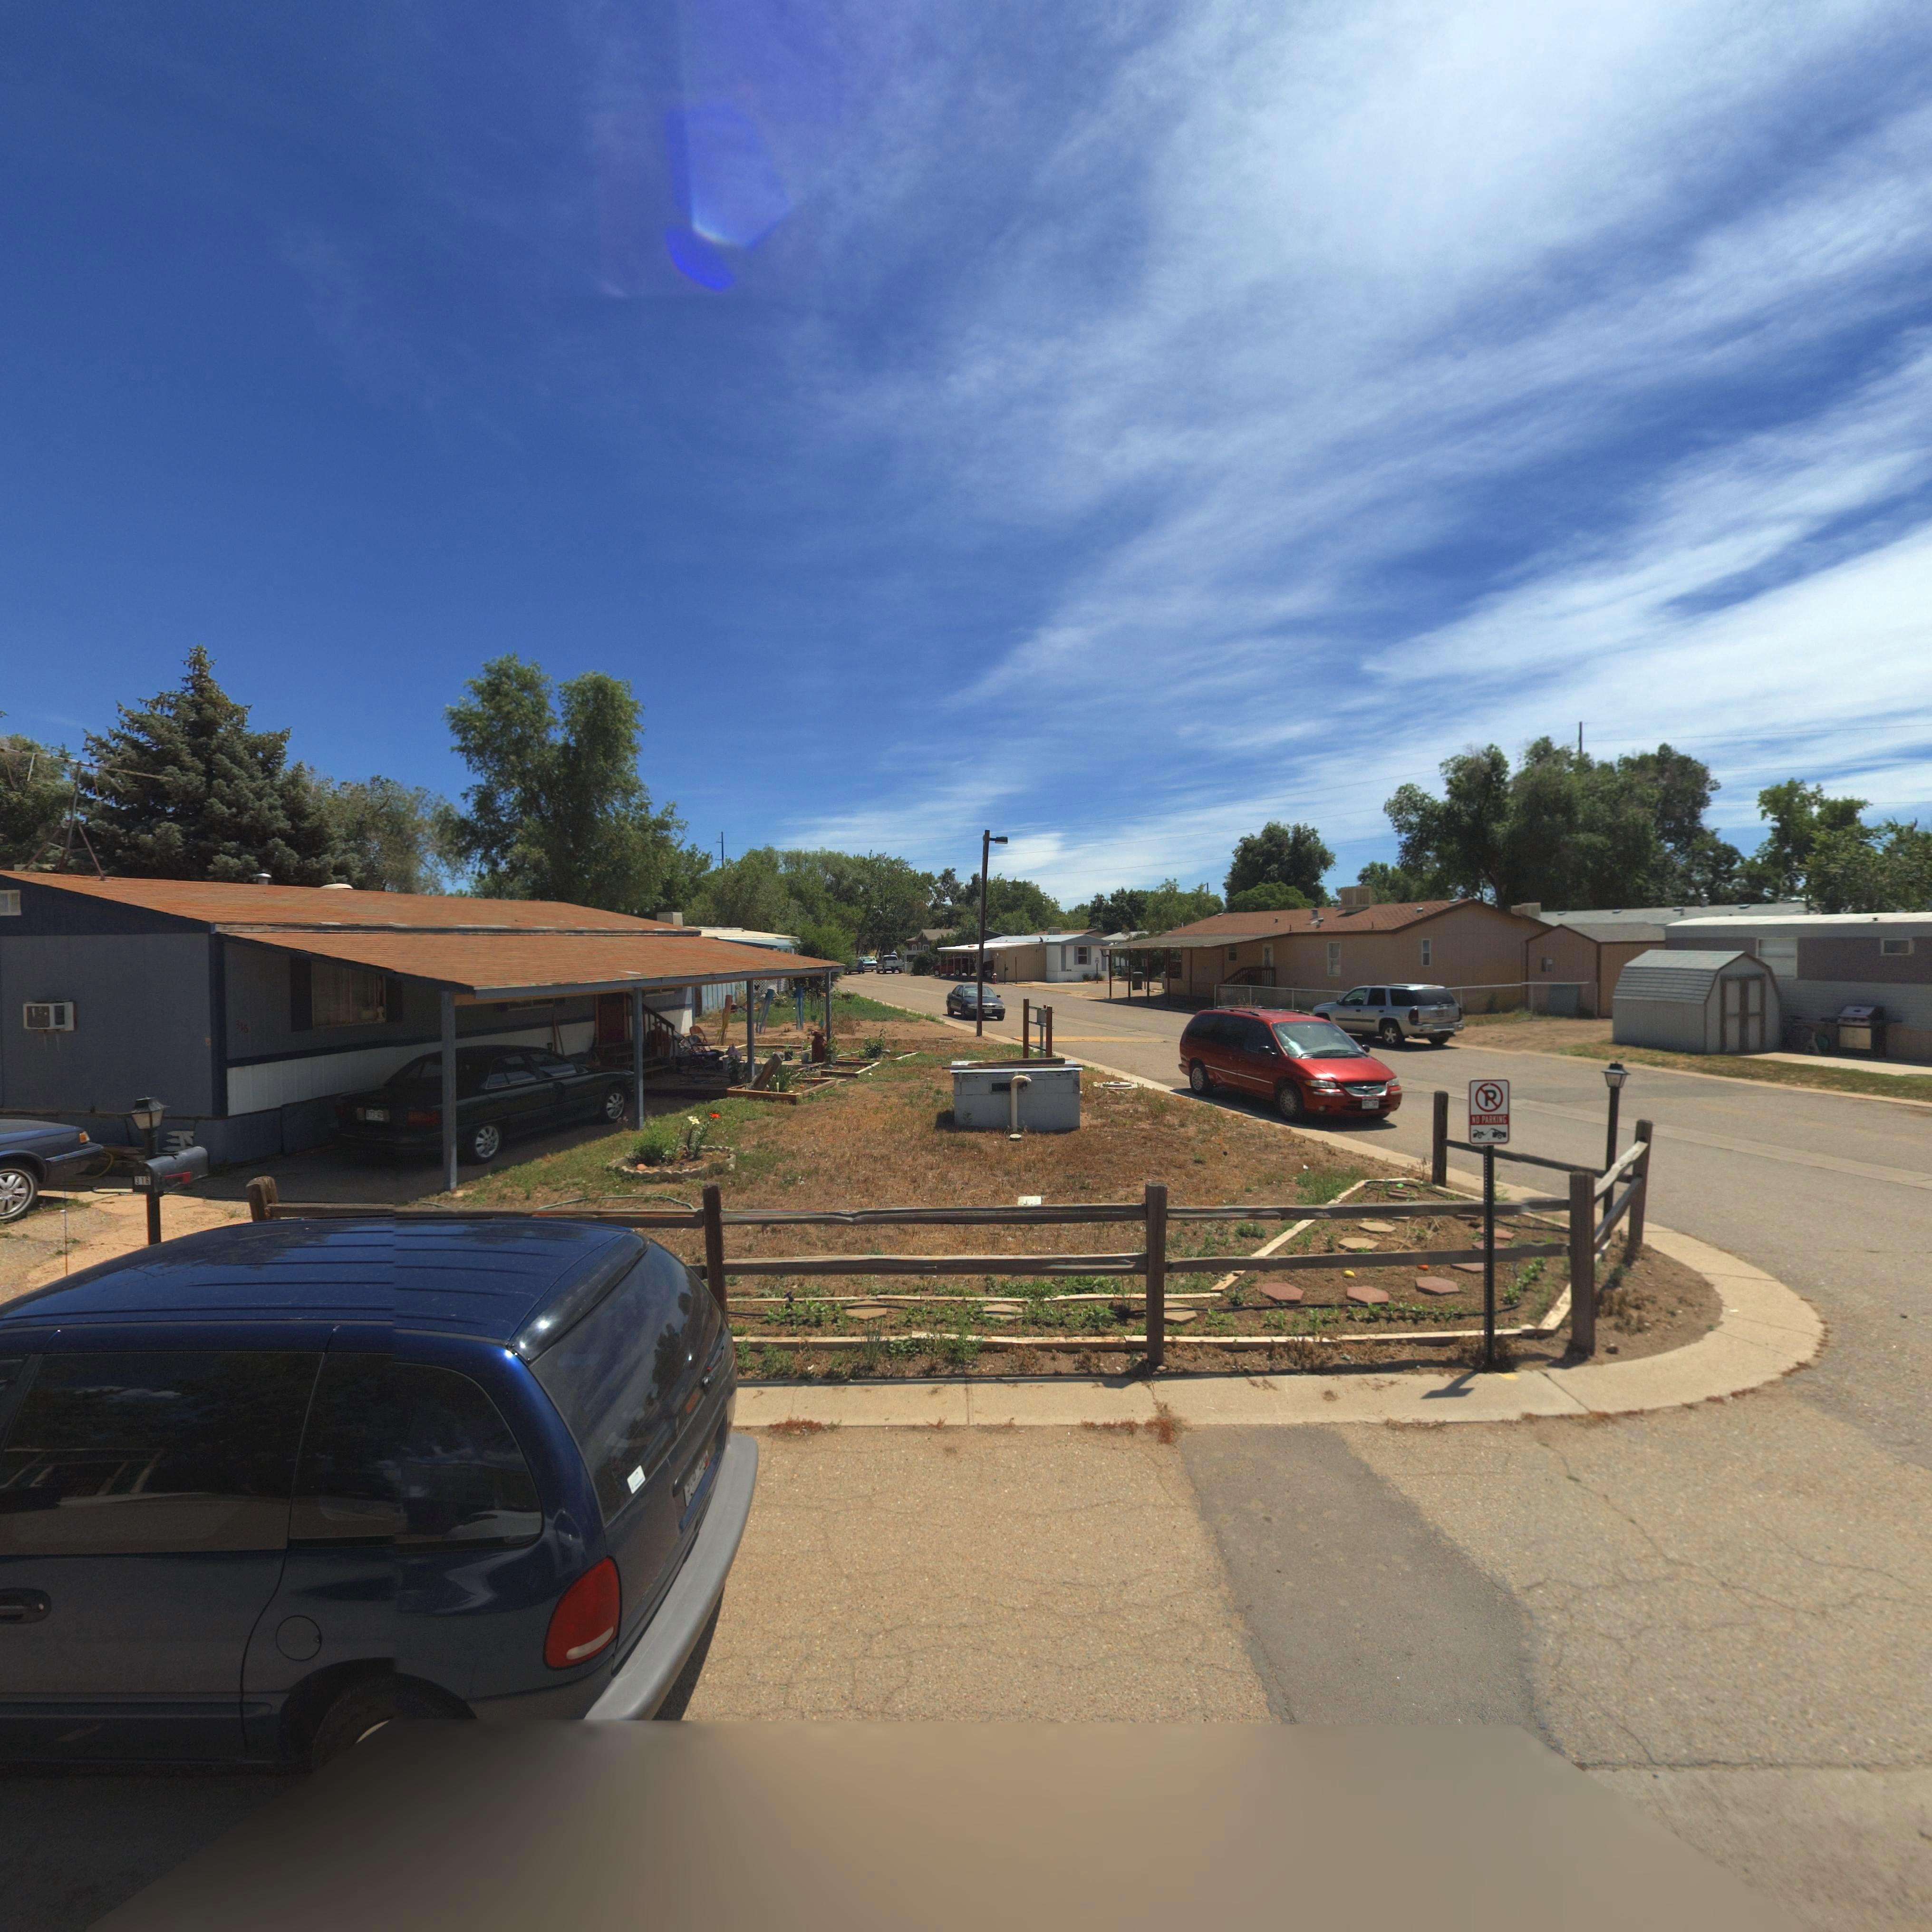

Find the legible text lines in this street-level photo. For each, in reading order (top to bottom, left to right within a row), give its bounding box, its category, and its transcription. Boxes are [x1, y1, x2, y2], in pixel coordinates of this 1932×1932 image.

[234, 1019, 248, 1034] StreetNumber: 316
[135, 1177, 149, 1185] StreetNumber: 316